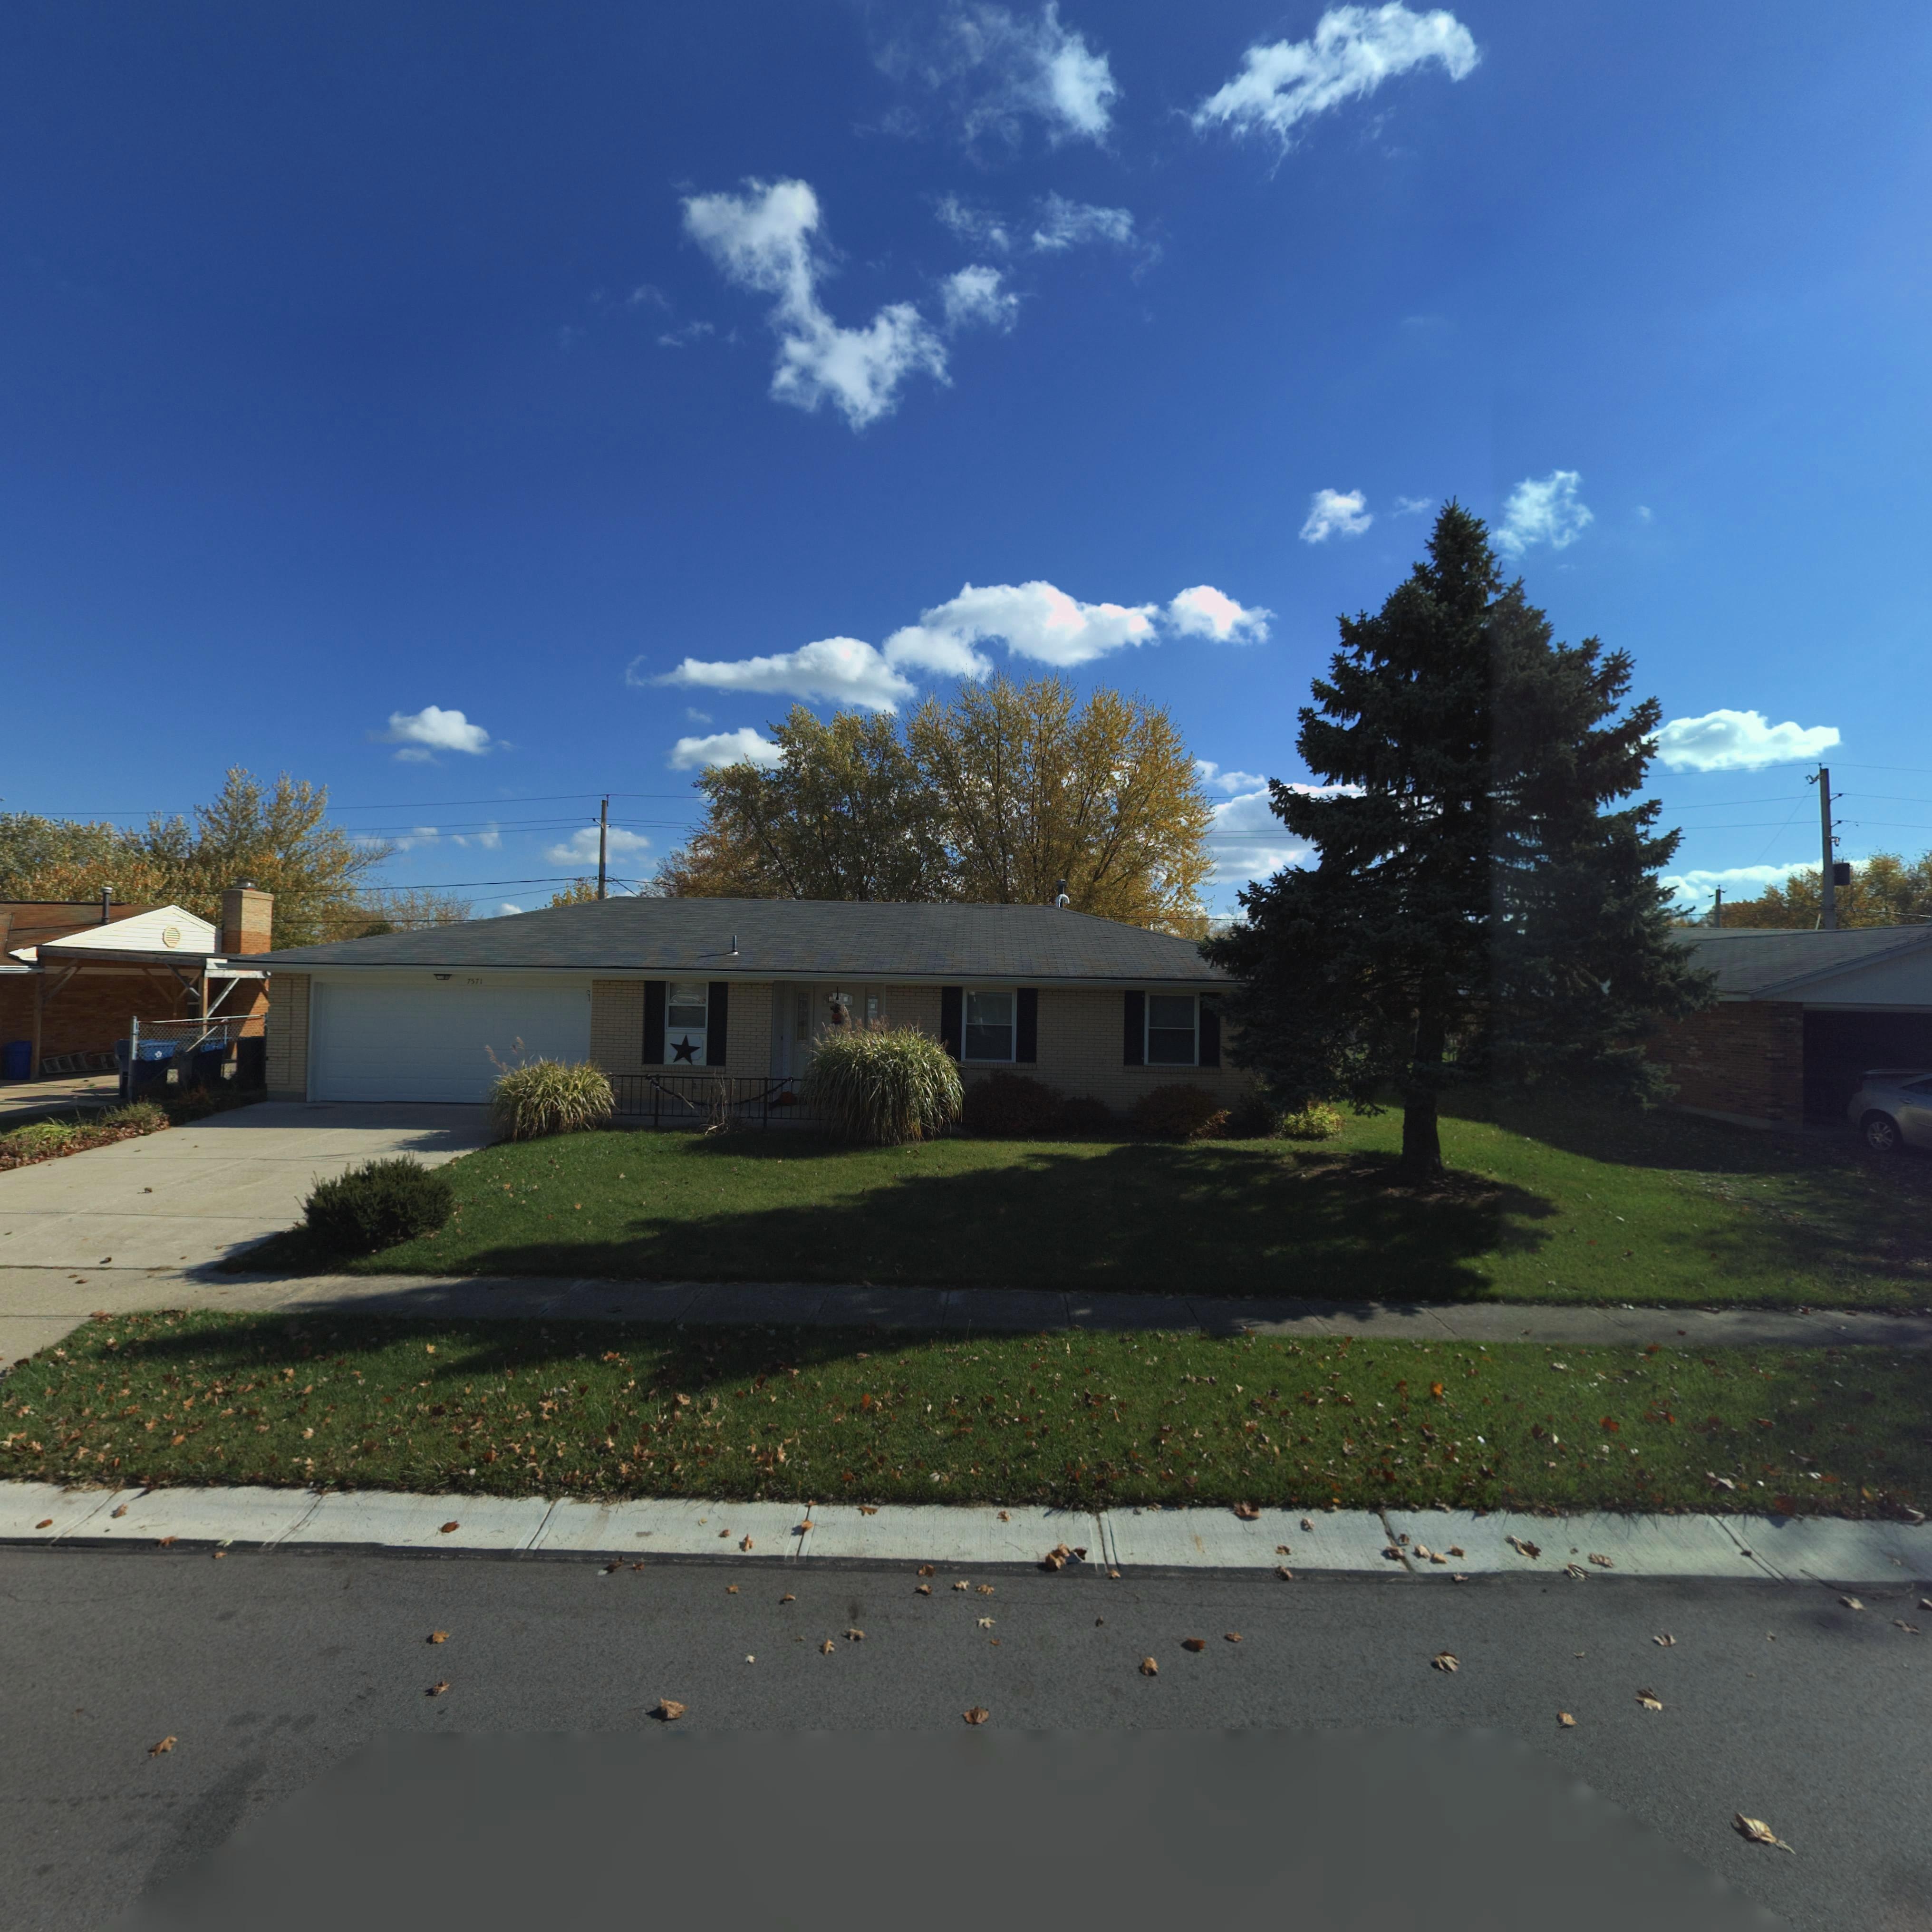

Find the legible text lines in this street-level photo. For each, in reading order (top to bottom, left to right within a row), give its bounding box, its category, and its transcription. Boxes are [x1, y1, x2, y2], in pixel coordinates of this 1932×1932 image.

[466, 977, 483, 985] StreetNumber: 7571